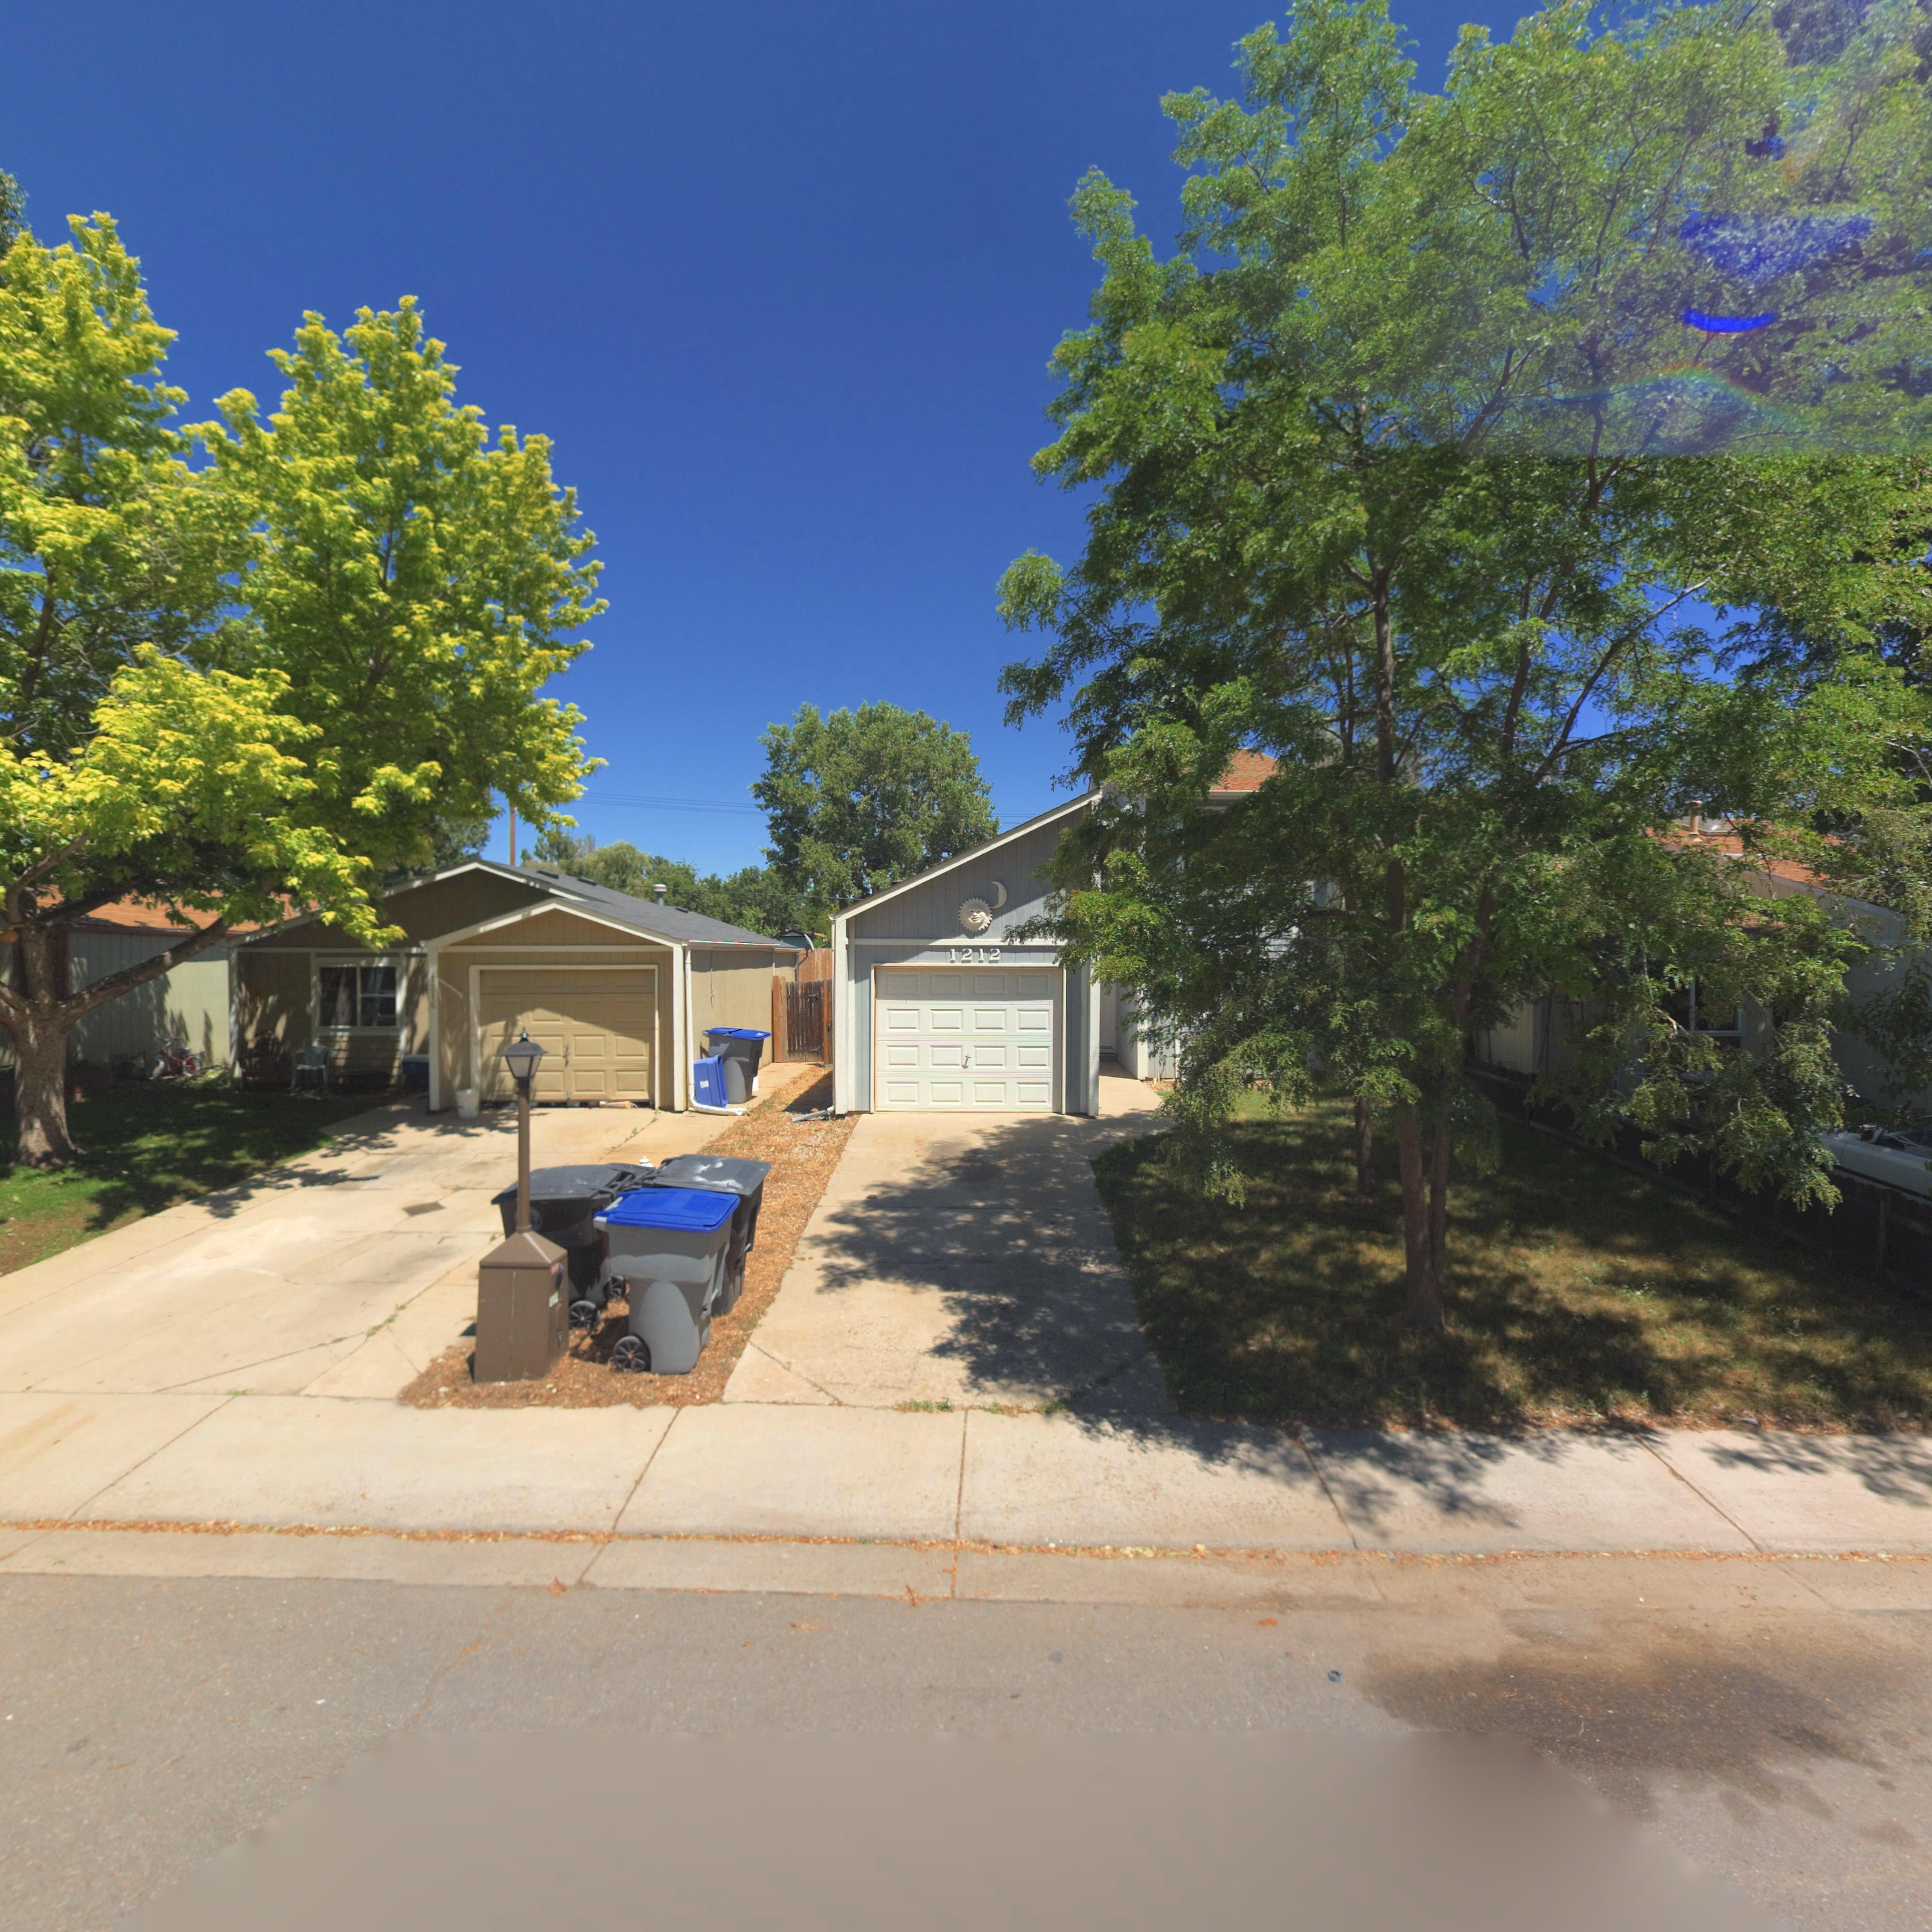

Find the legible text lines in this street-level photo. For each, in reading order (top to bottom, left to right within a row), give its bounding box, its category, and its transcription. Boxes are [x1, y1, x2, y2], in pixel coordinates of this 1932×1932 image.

[948, 947, 999, 962] StreetNumber: 1212
[430, 975, 436, 1011] StreetNumber: 1216